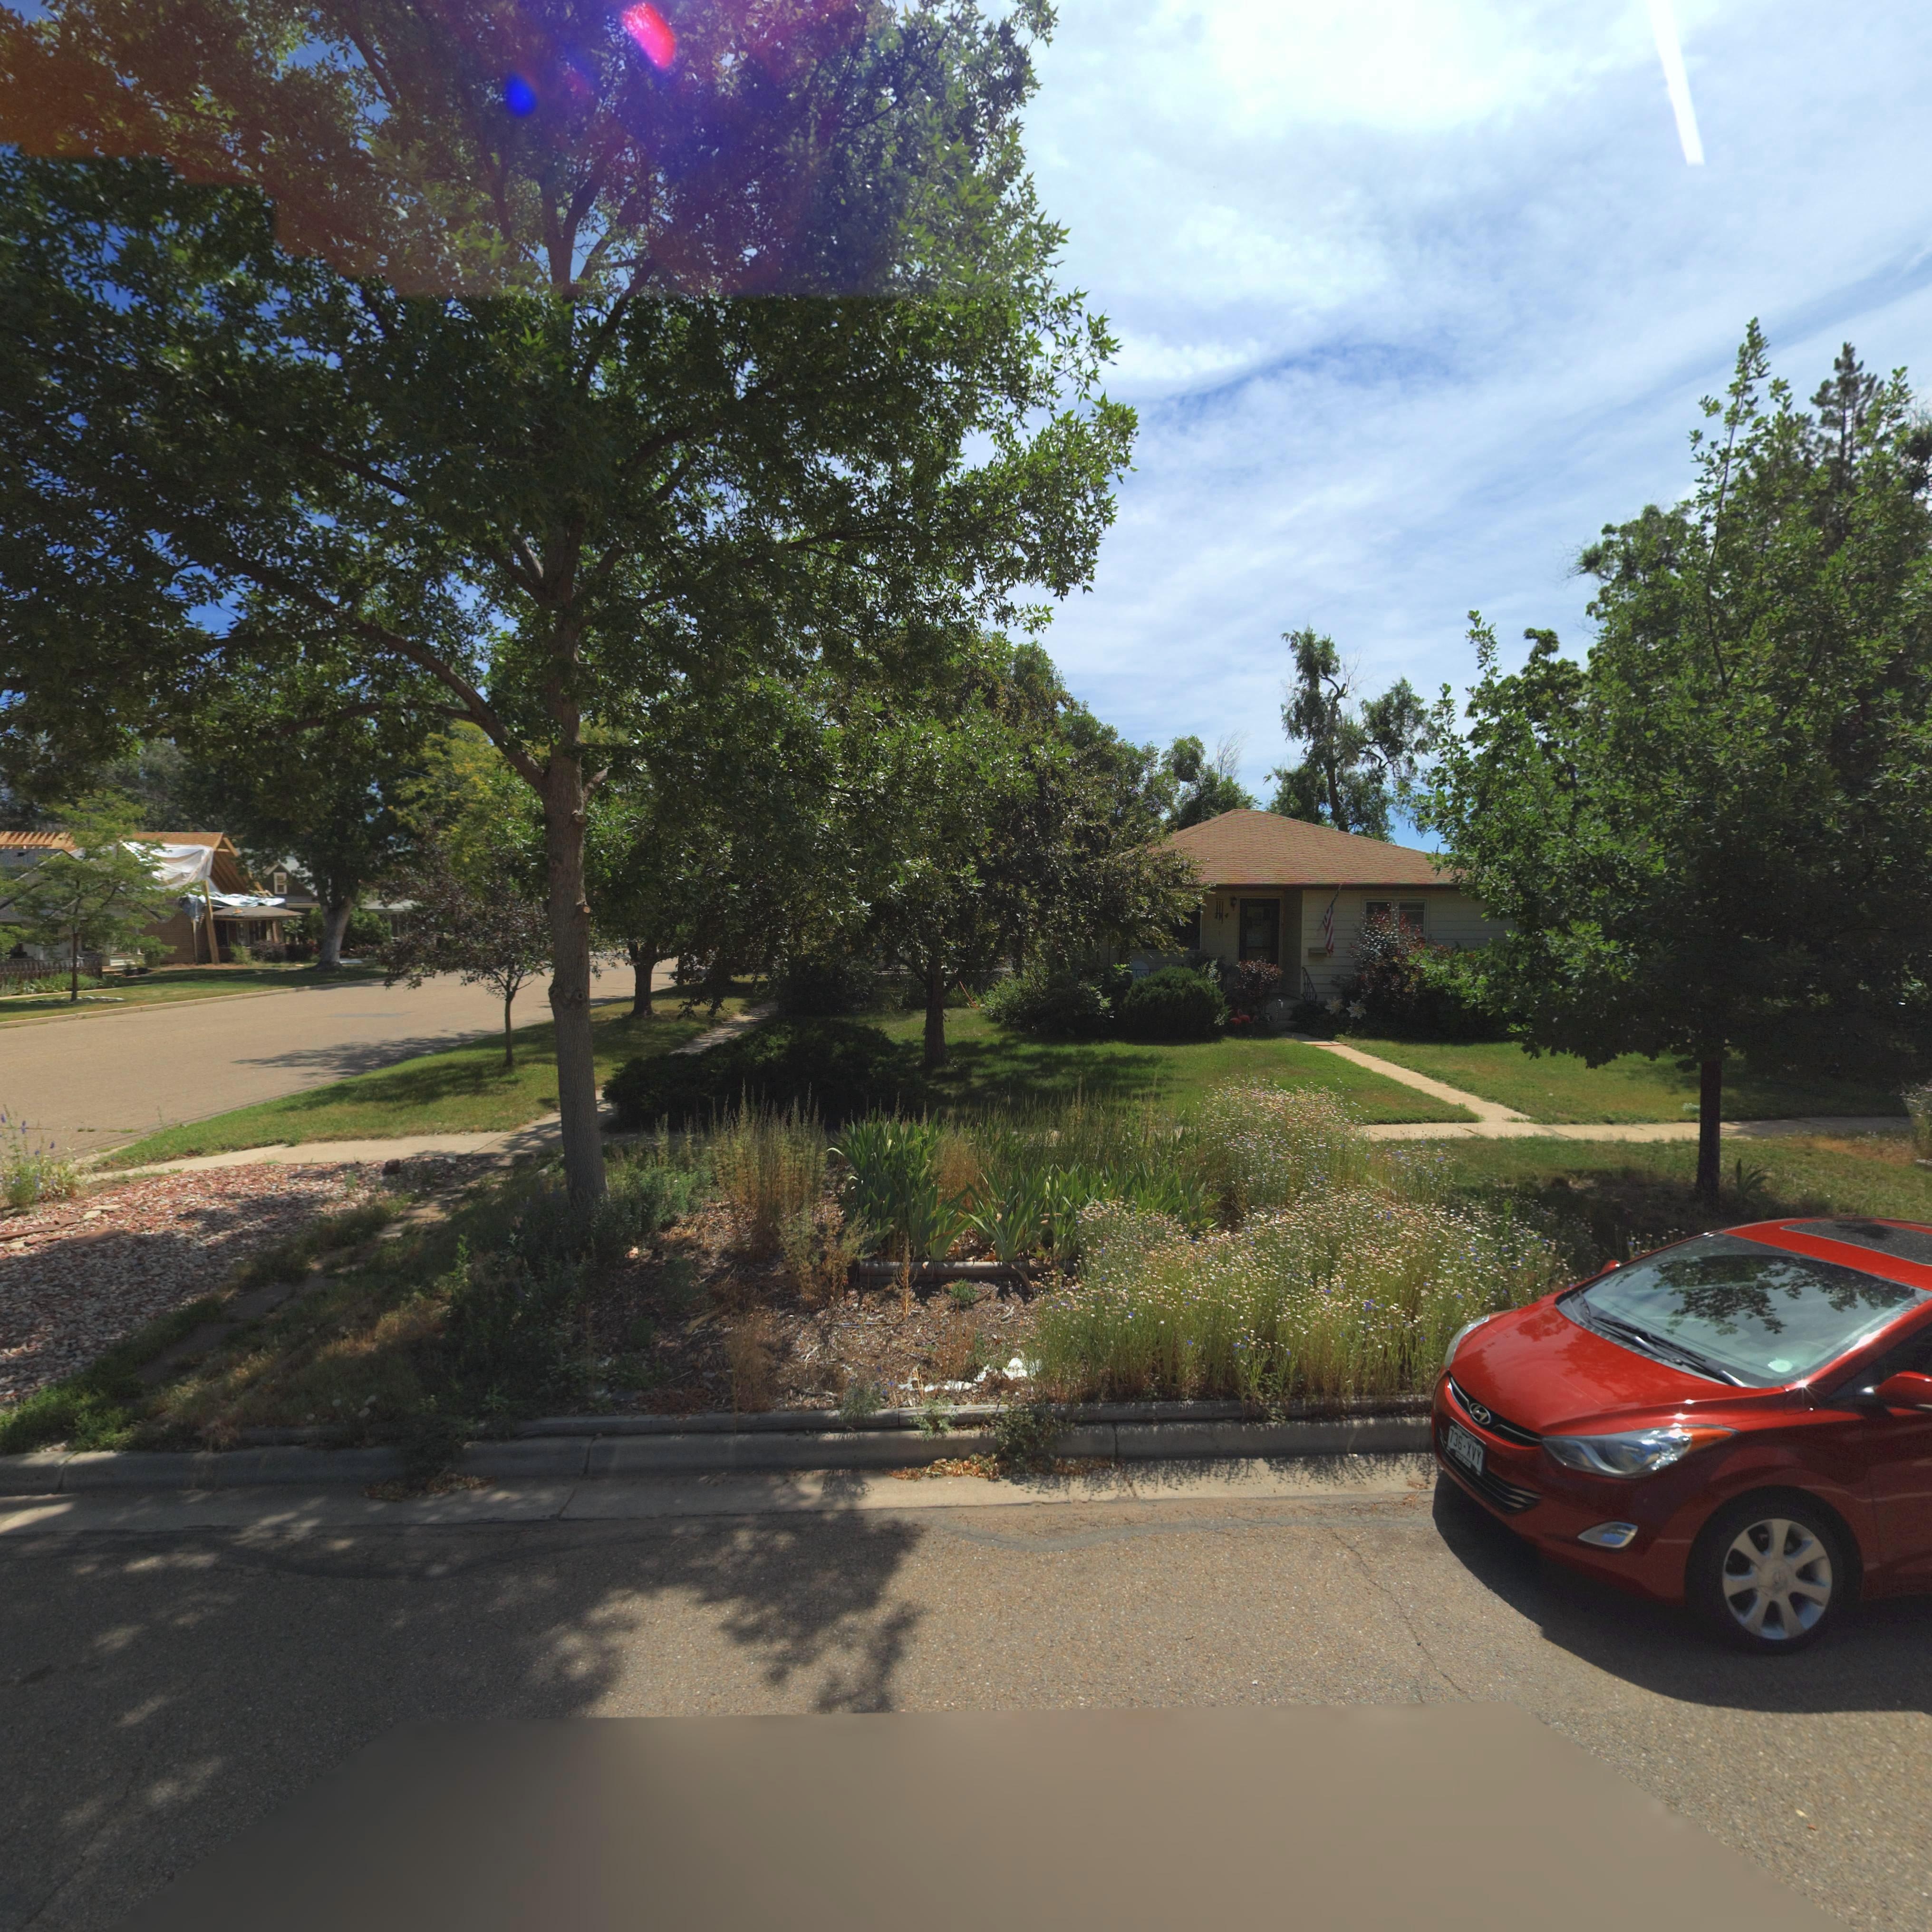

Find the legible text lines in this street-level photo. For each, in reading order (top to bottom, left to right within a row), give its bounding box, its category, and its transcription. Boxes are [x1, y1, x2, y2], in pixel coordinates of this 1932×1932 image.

[1224, 912, 1228, 919] StreetNumber: 4